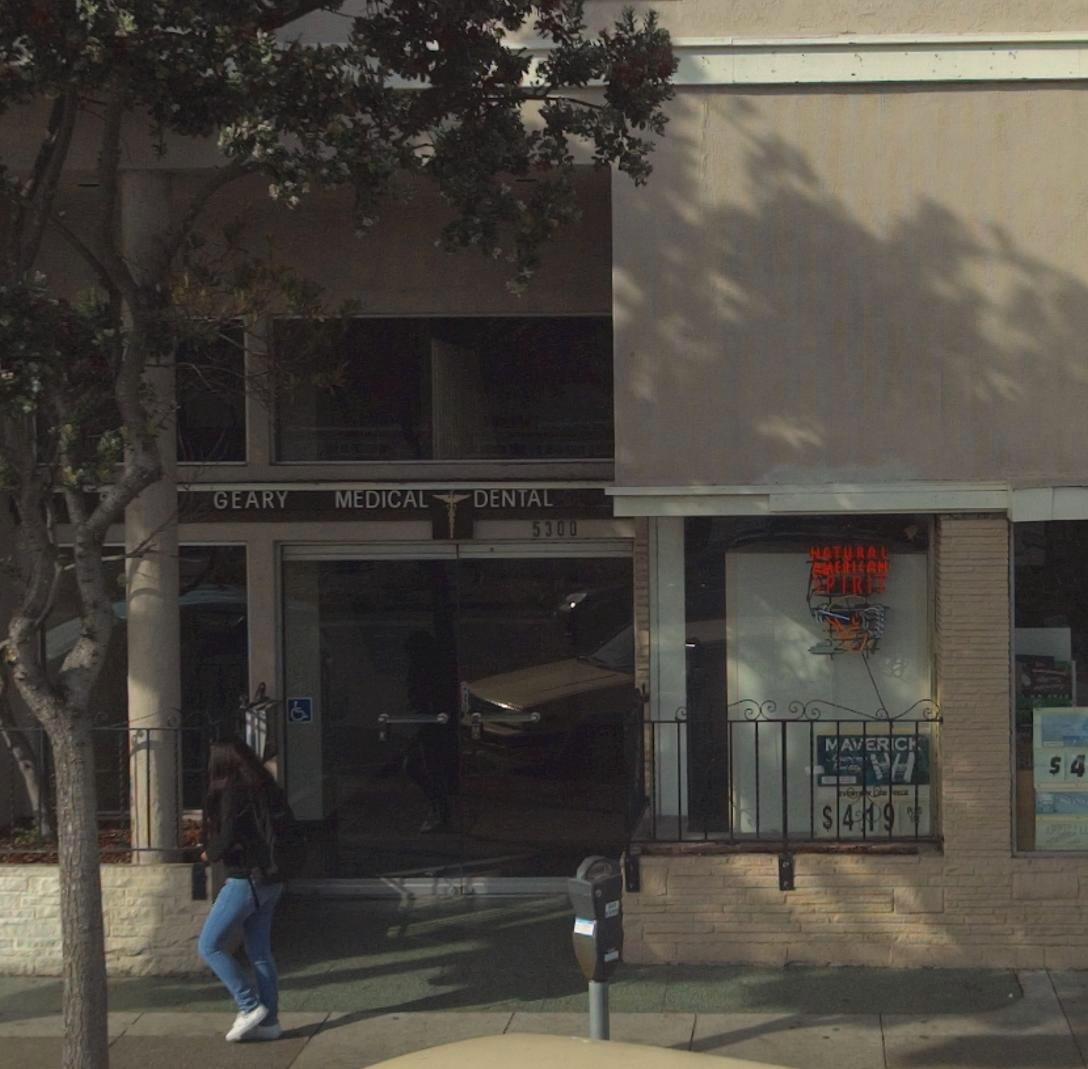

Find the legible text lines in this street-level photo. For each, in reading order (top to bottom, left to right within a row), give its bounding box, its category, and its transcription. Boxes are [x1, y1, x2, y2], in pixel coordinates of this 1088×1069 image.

[213, 488, 555, 511] BusinessName: GEARY MEDICAL * DENTAL
[531, 519, 579, 539] StreetNumber: 5300
[809, 544, 892, 561] None: NATURAL
[809, 559, 891, 575] None: AMERICAN
[811, 572, 890, 596] None: SPIRIT
[823, 735, 924, 753] None: *AVERIC*
[1068, 752, 1086, 780] None: 4
[840, 801, 897, 834] None: 4.1*